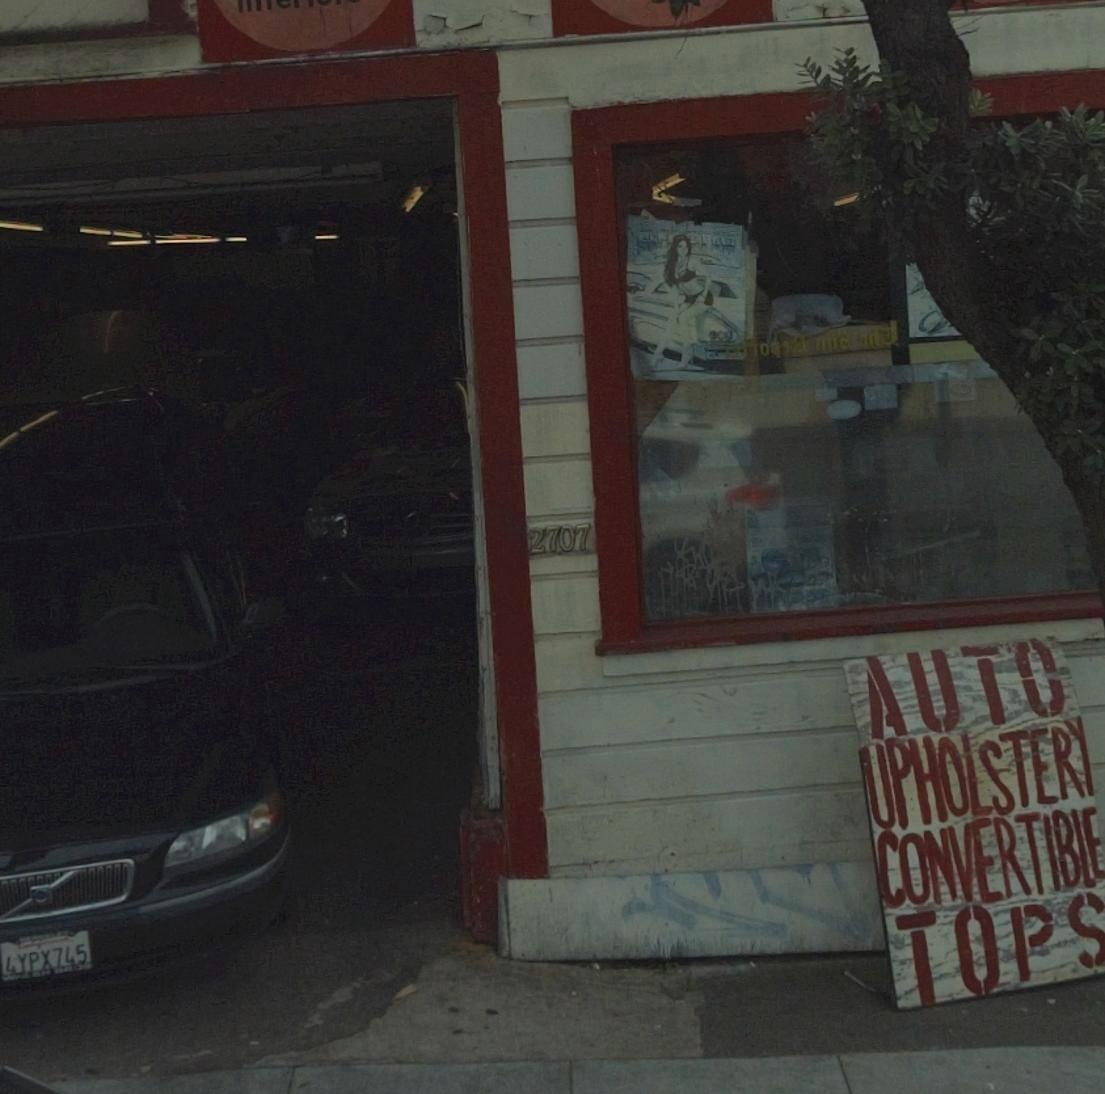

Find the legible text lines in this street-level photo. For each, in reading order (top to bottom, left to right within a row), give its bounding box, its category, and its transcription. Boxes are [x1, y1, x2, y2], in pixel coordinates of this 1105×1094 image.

[527, 521, 592, 557] StreetNumber: 2707
[863, 636, 1067, 741] None: AUTO
[860, 713, 1096, 831] None: UPHOLSTERY
[873, 803, 1105, 910] None: CONVERTIBLE
[4, 942, 89, 975] None: 4YPX745
[893, 890, 1105, 1011] None: TOPS